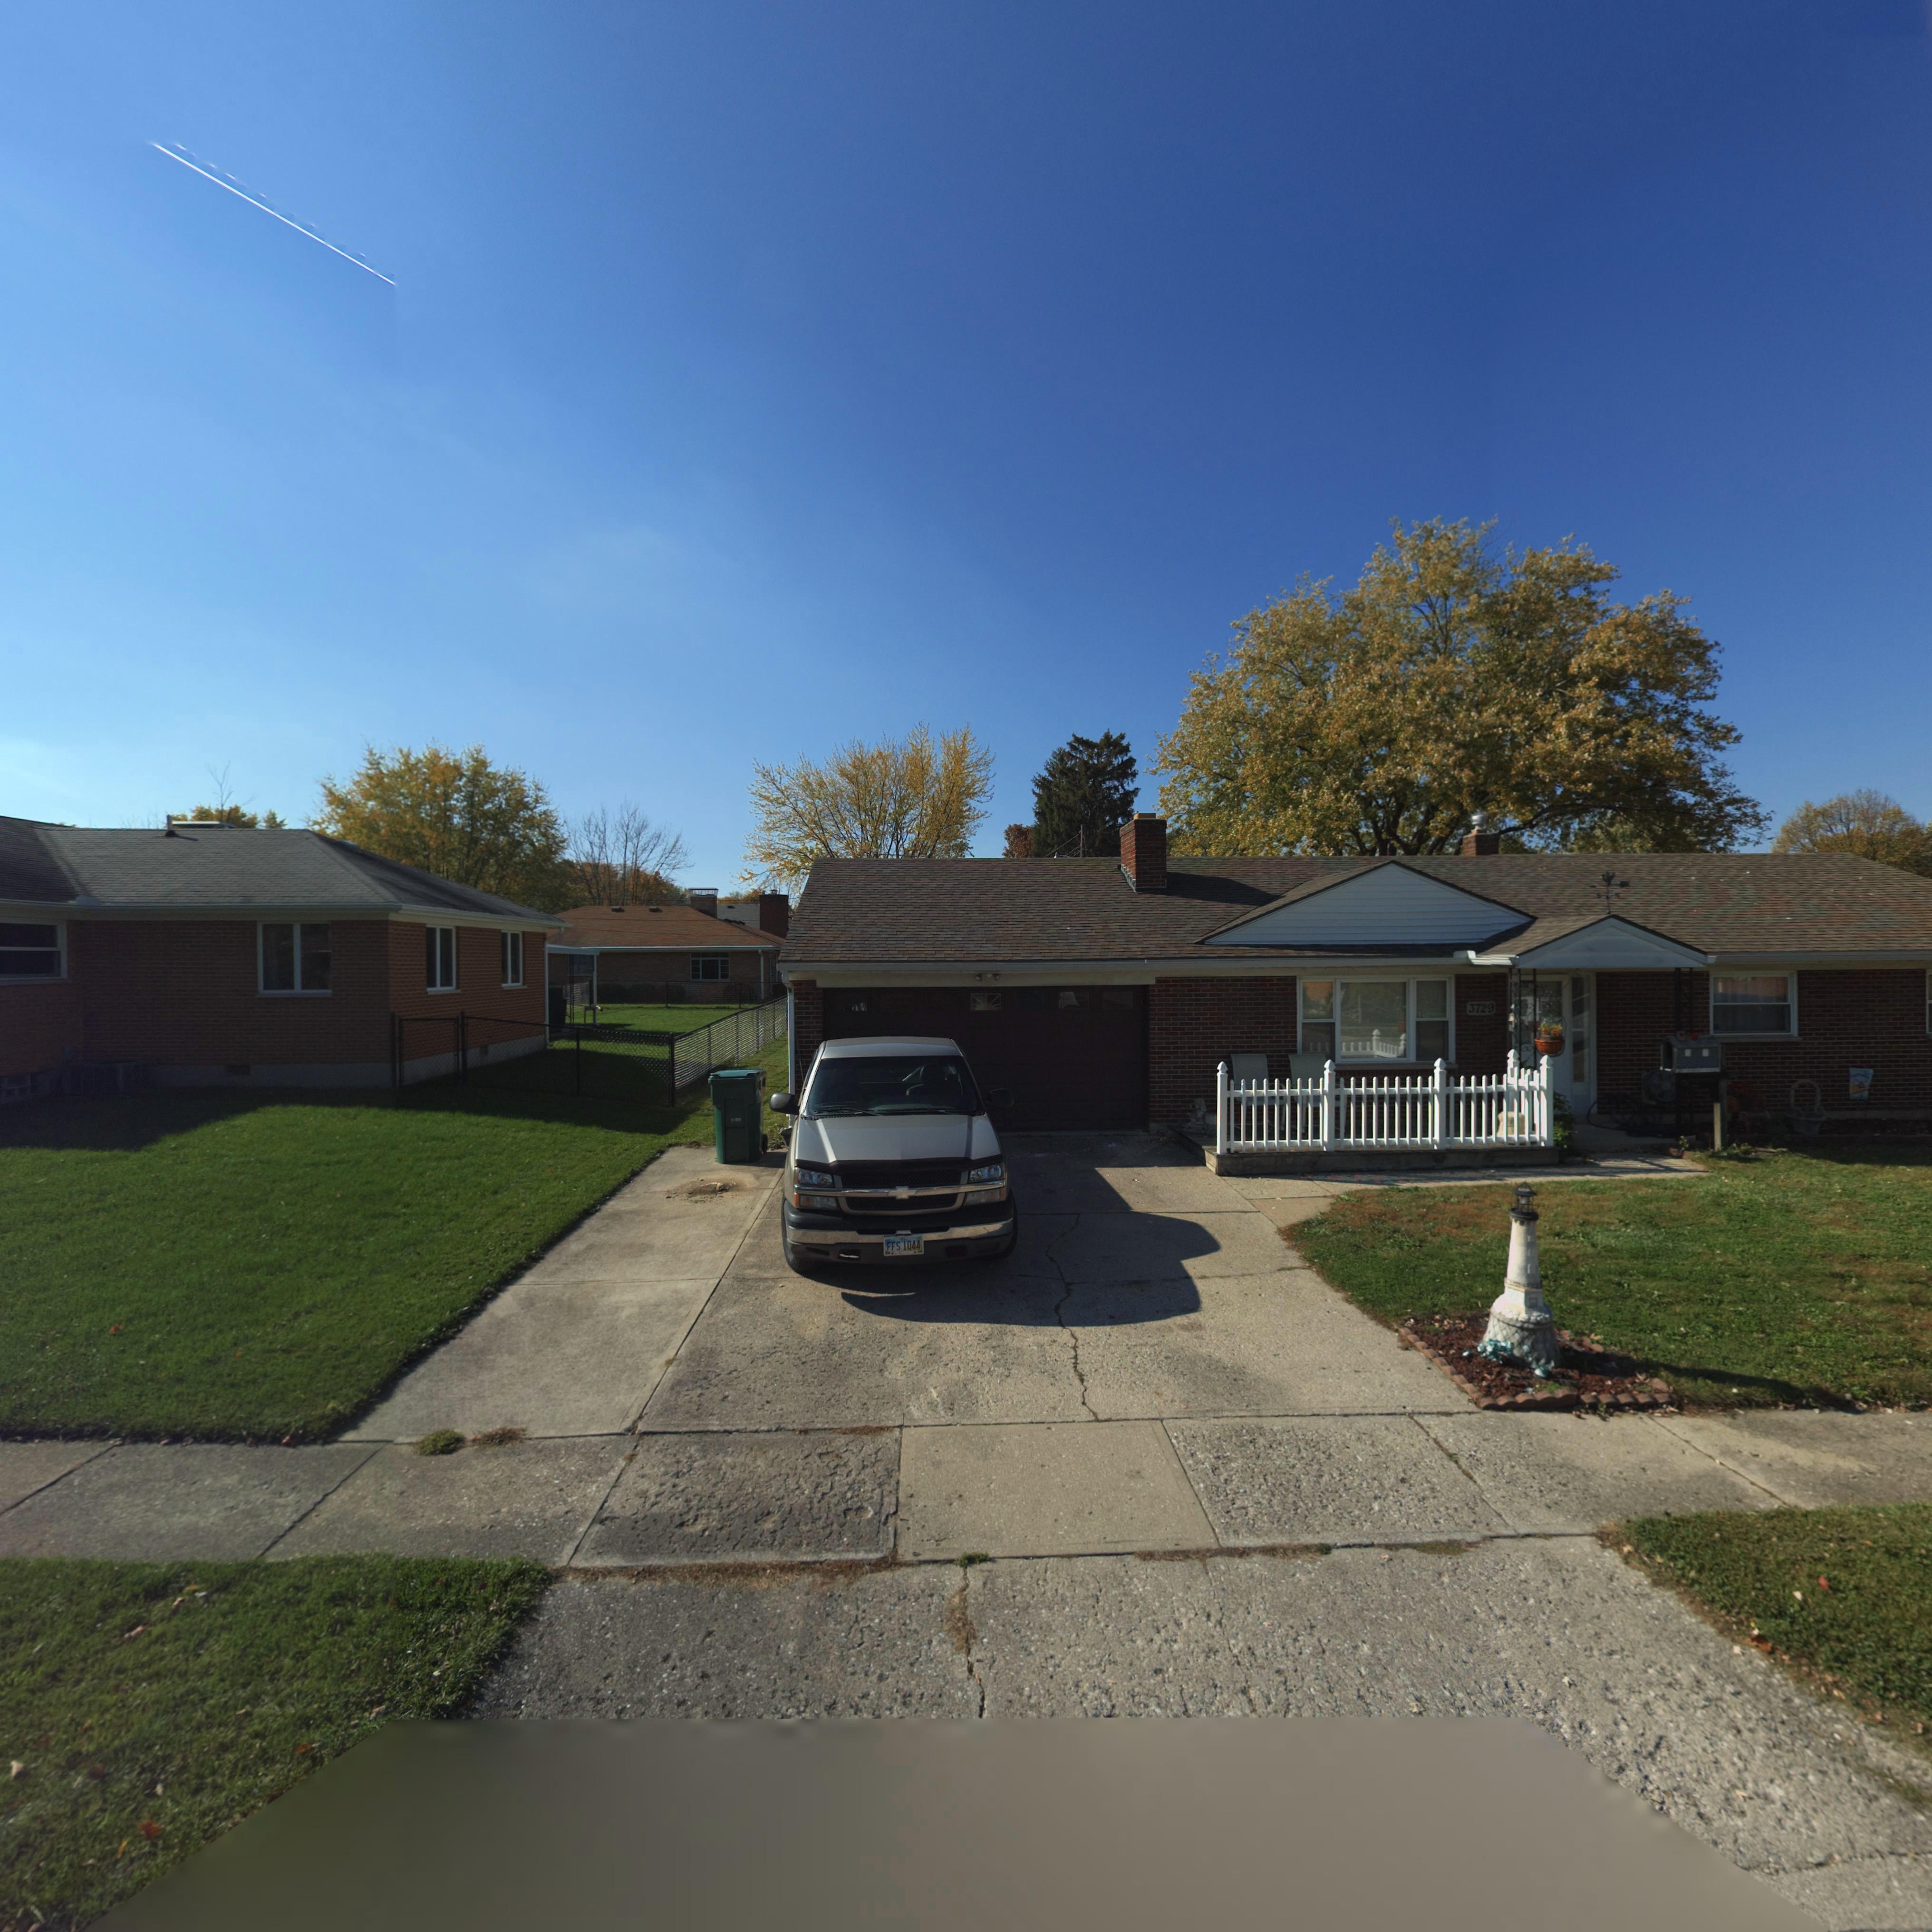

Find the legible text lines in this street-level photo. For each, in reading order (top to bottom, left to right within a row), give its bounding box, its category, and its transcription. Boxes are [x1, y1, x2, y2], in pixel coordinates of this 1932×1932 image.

[1467, 1000, 1496, 1014] StreetNumber: 3729